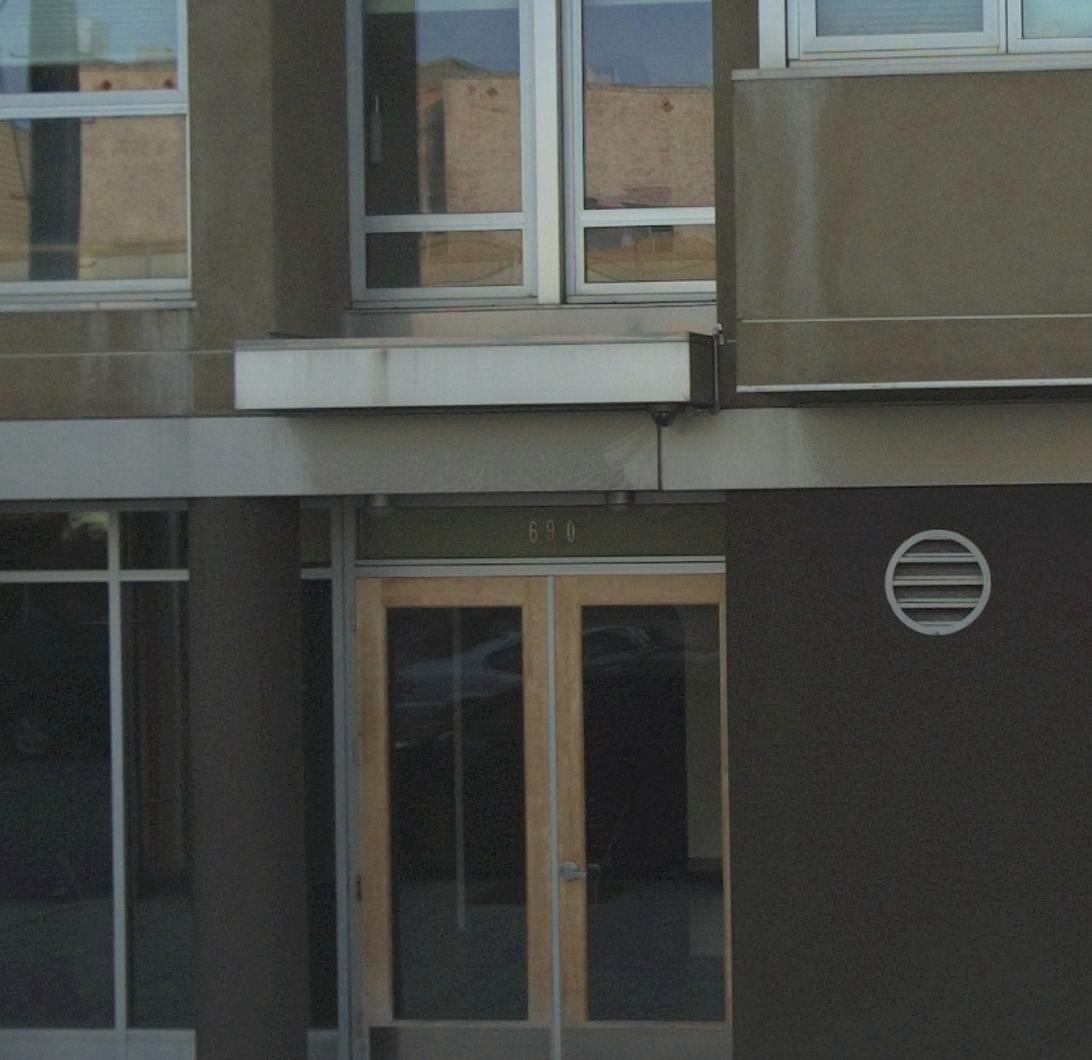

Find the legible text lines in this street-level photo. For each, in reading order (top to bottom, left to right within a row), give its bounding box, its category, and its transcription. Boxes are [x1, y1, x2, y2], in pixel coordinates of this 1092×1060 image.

[526, 516, 577, 544] StreetNumber: 690